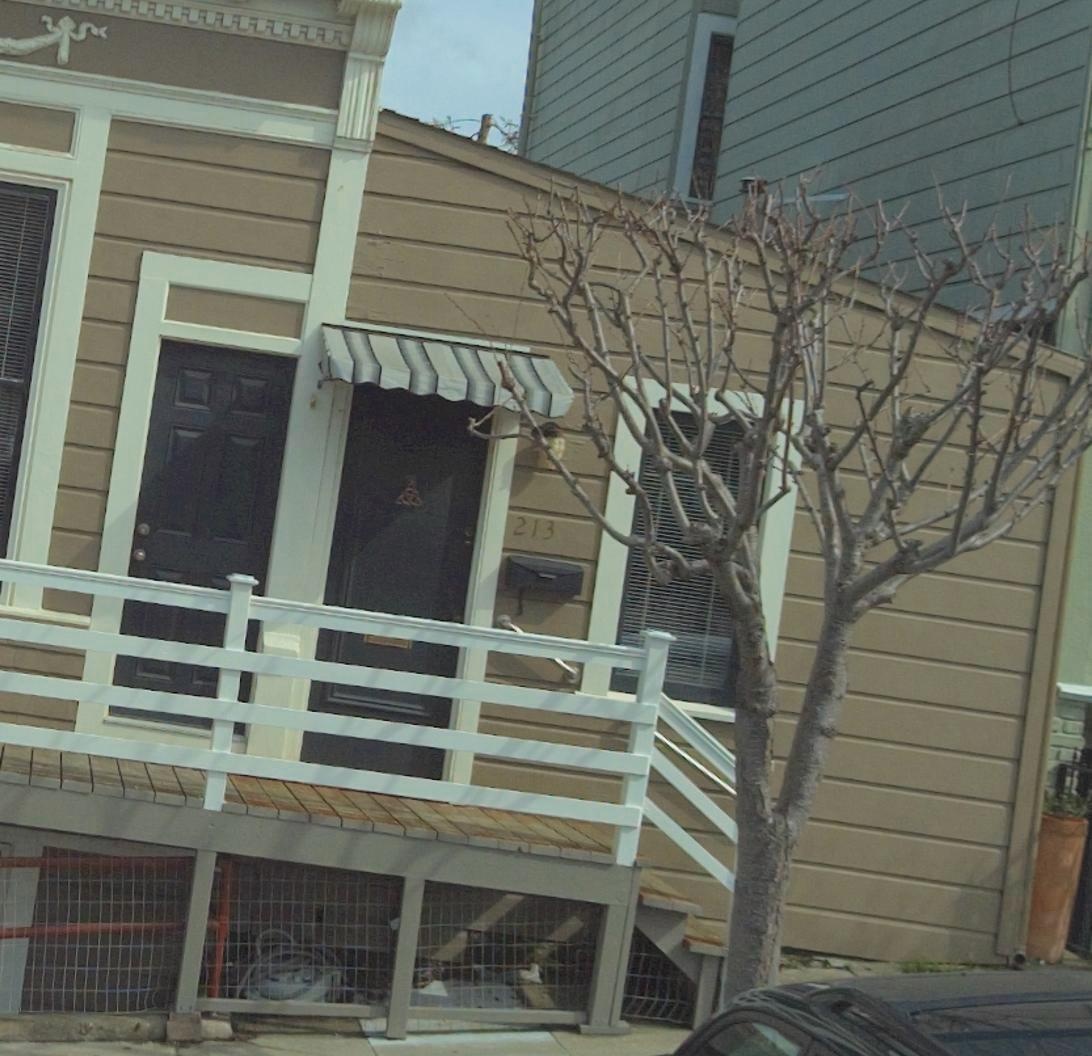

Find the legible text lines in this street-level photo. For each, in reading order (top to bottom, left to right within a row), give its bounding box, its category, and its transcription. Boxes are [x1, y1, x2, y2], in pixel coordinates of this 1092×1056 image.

[512, 515, 557, 541] StreetNumber: 213